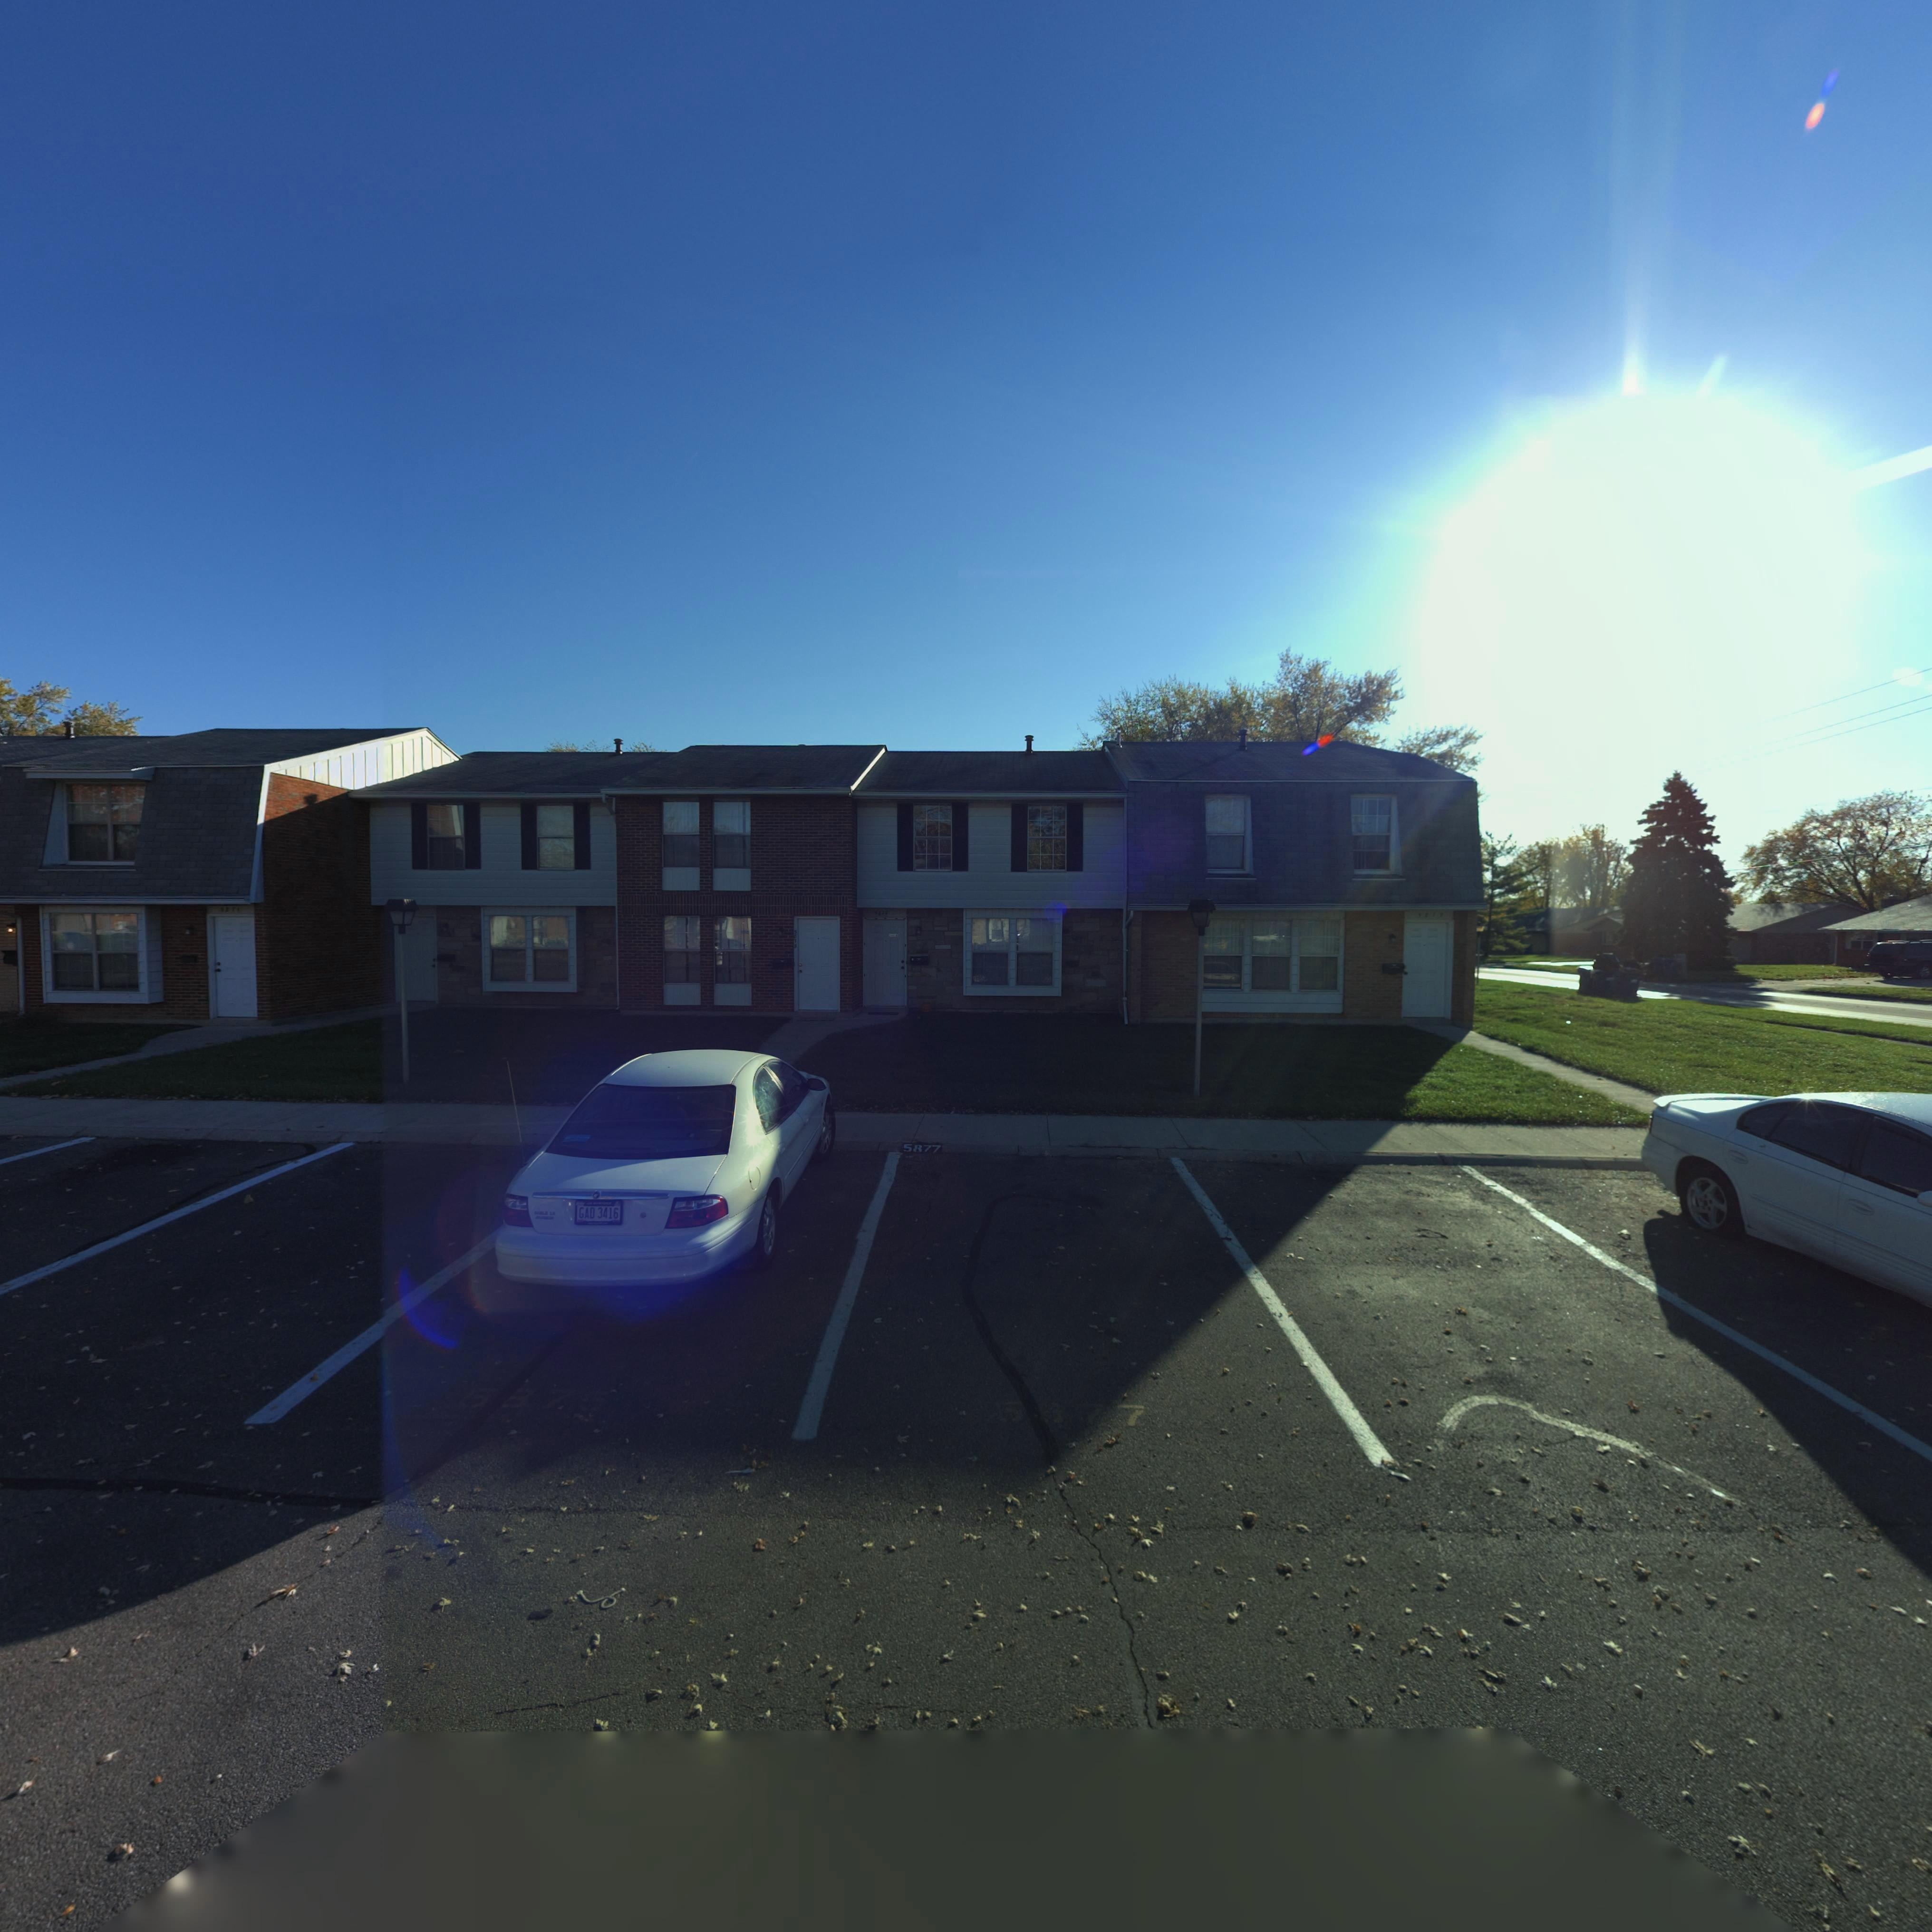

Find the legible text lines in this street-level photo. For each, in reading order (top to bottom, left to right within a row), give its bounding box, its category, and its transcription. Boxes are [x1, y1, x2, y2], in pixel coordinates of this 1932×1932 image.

[793, 929, 798, 949] StreetNumber: **7*
[902, 1143, 943, 1154] StreetNumber: 5877
[991, 1398, 1149, 1429] StreetNumber: **77